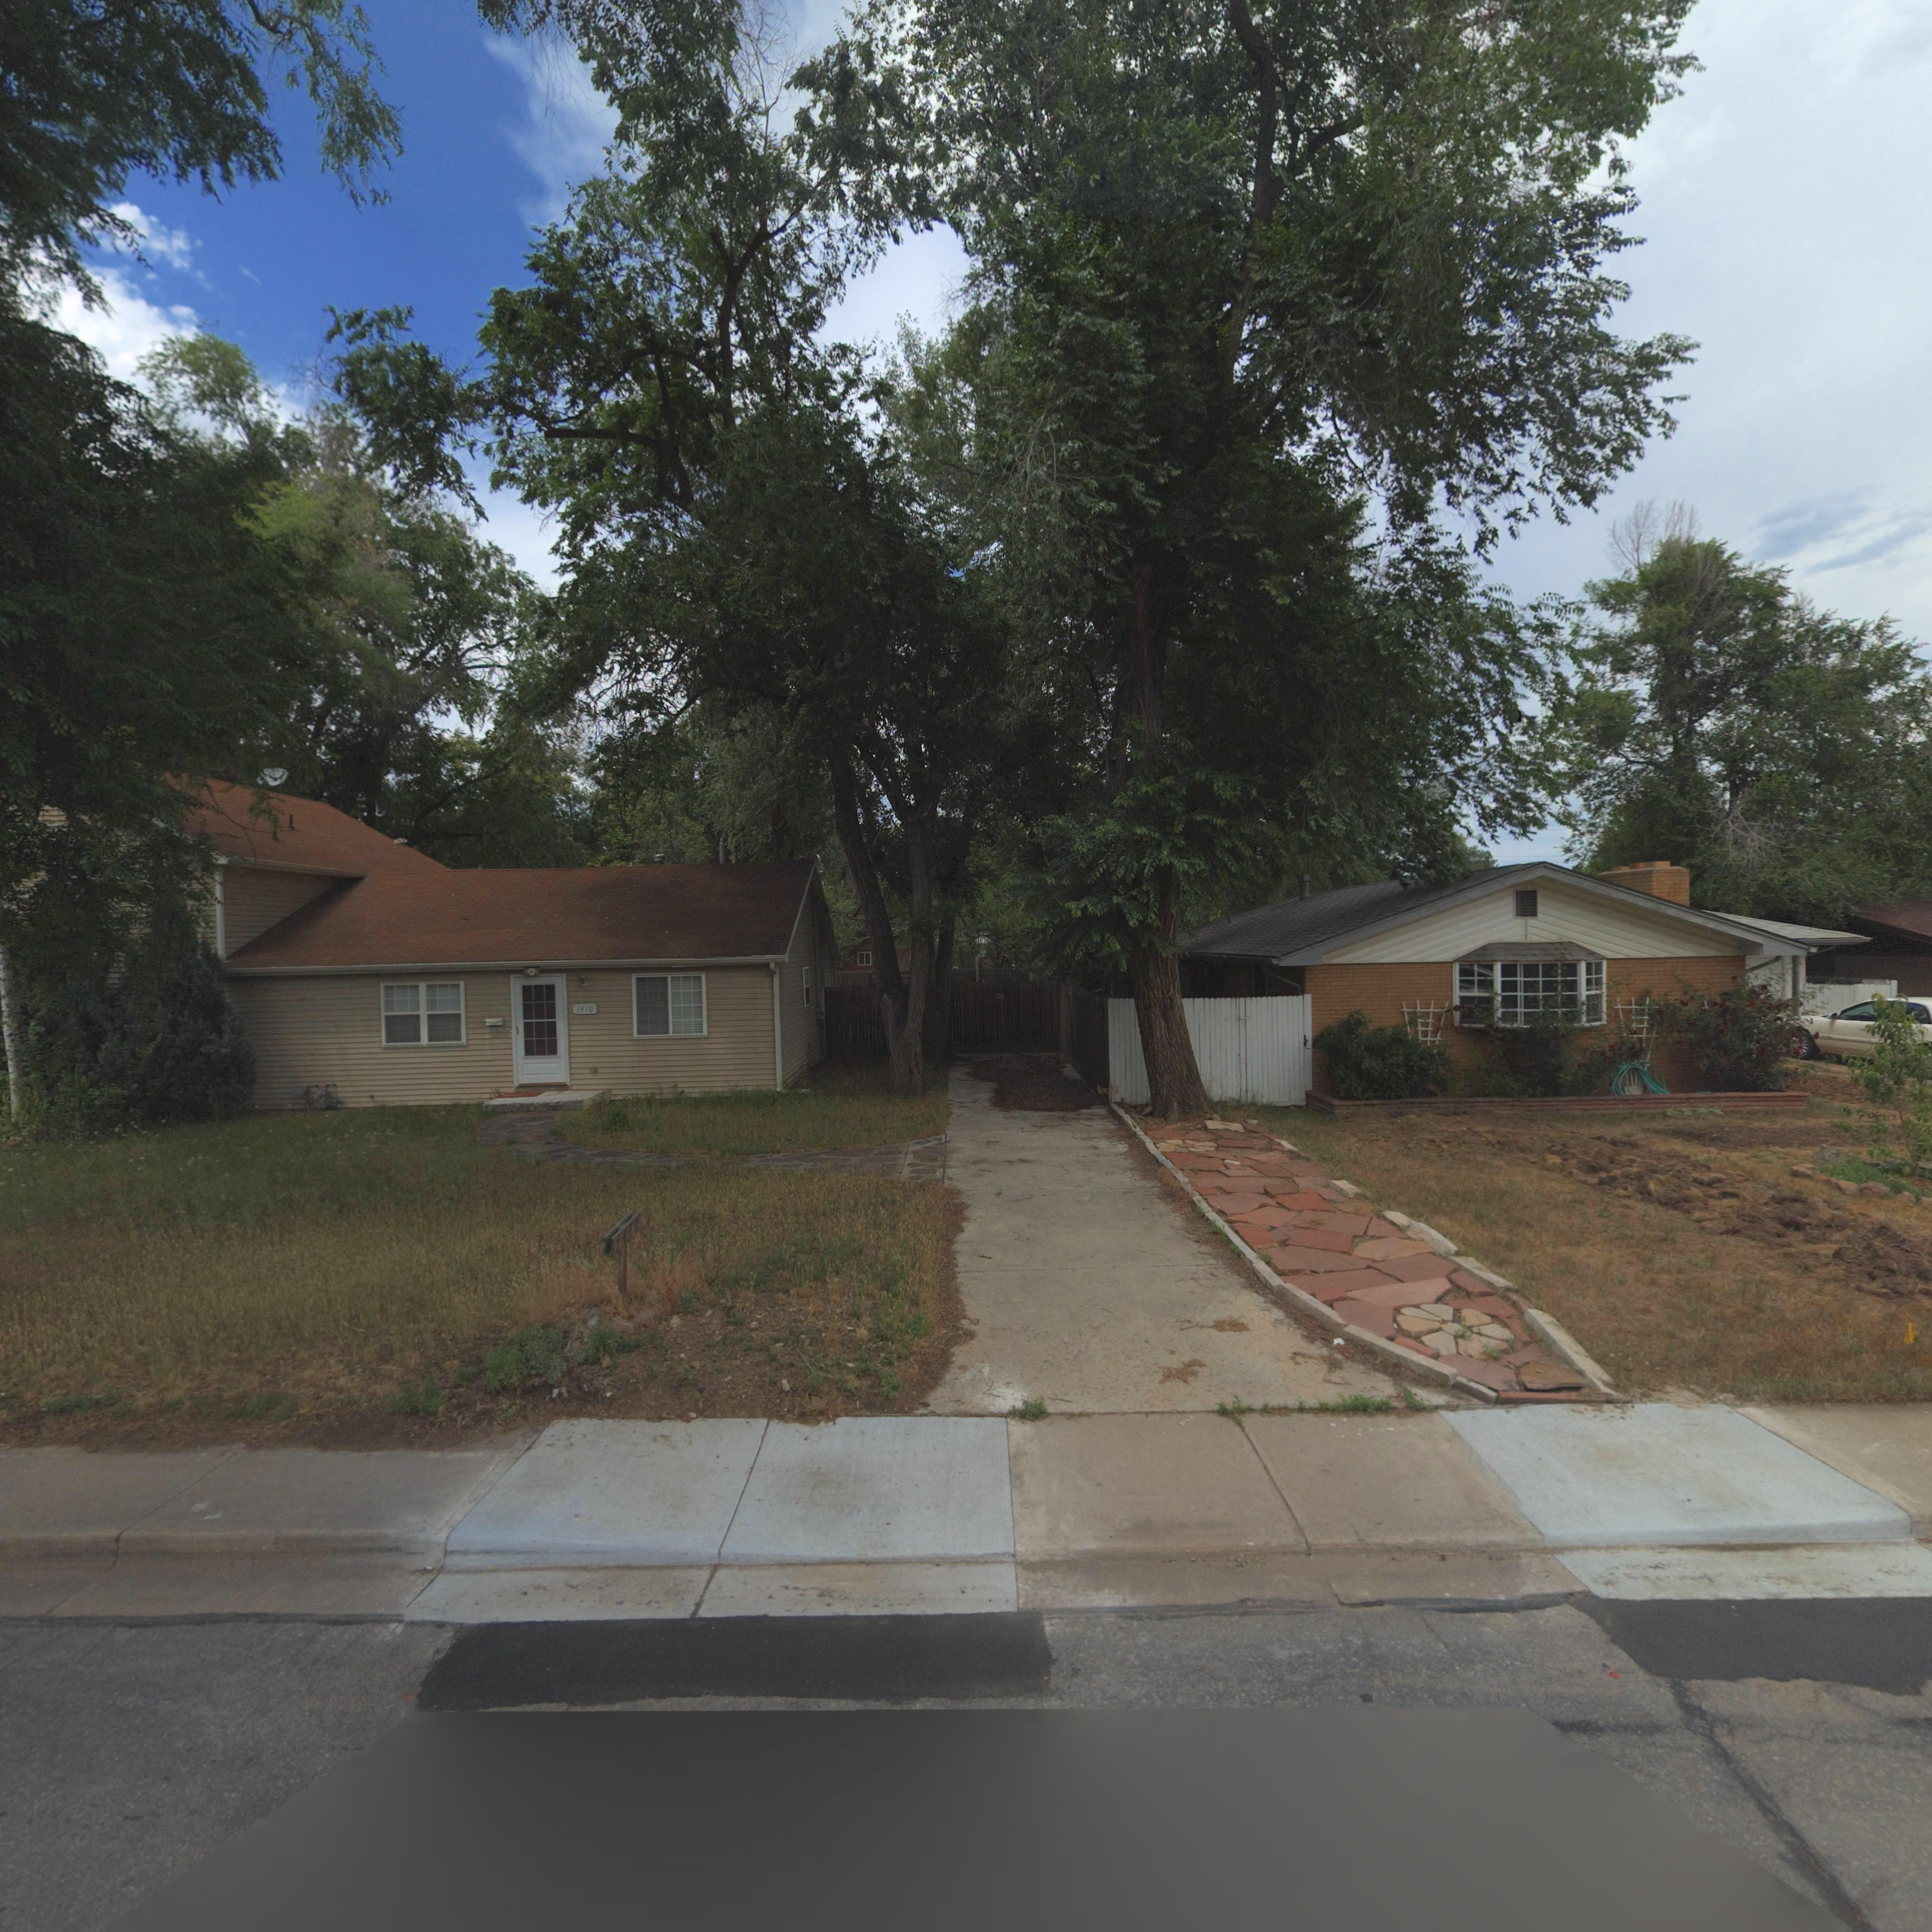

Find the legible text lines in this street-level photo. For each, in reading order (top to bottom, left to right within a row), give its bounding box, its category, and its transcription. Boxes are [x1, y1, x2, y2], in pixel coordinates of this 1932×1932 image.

[576, 1005, 594, 1012] StreetNumber: 1410
[614, 1216, 641, 1254] StreetNumber: 1410